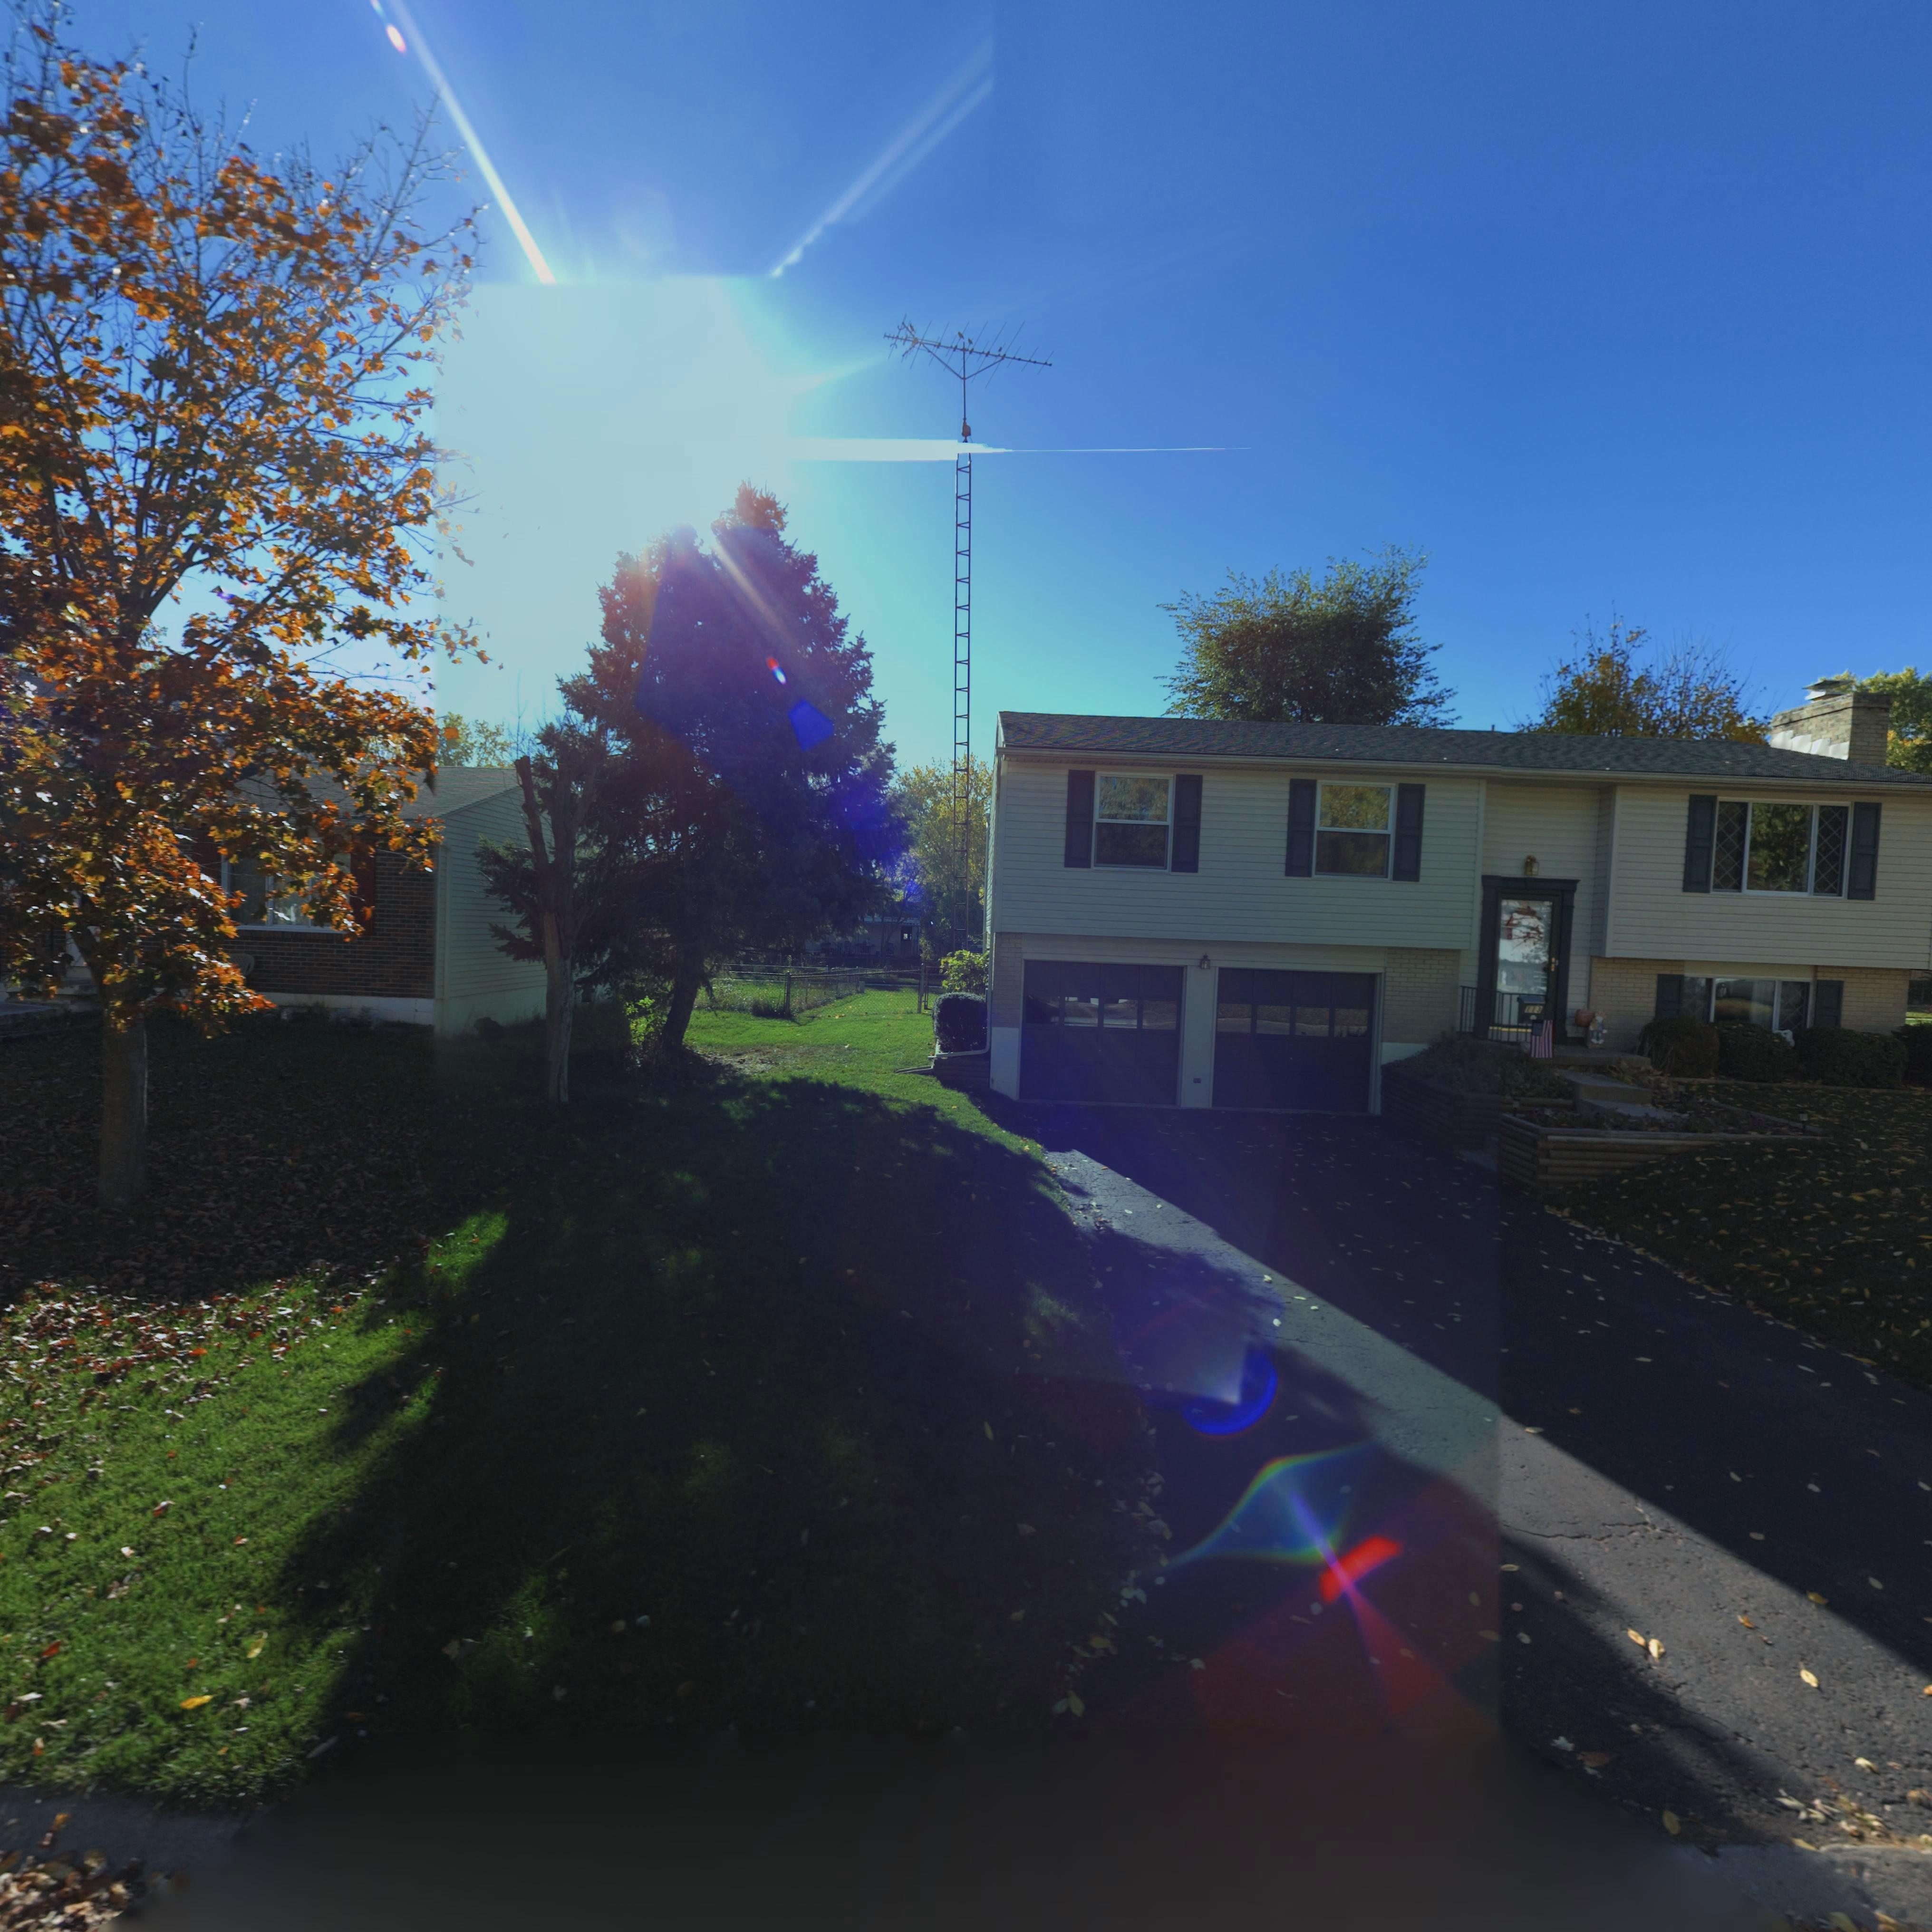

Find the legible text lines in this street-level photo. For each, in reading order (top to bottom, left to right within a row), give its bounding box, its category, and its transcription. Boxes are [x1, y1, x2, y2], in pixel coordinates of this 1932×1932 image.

[1525, 1005, 1543, 1013] StreetNumber: 113